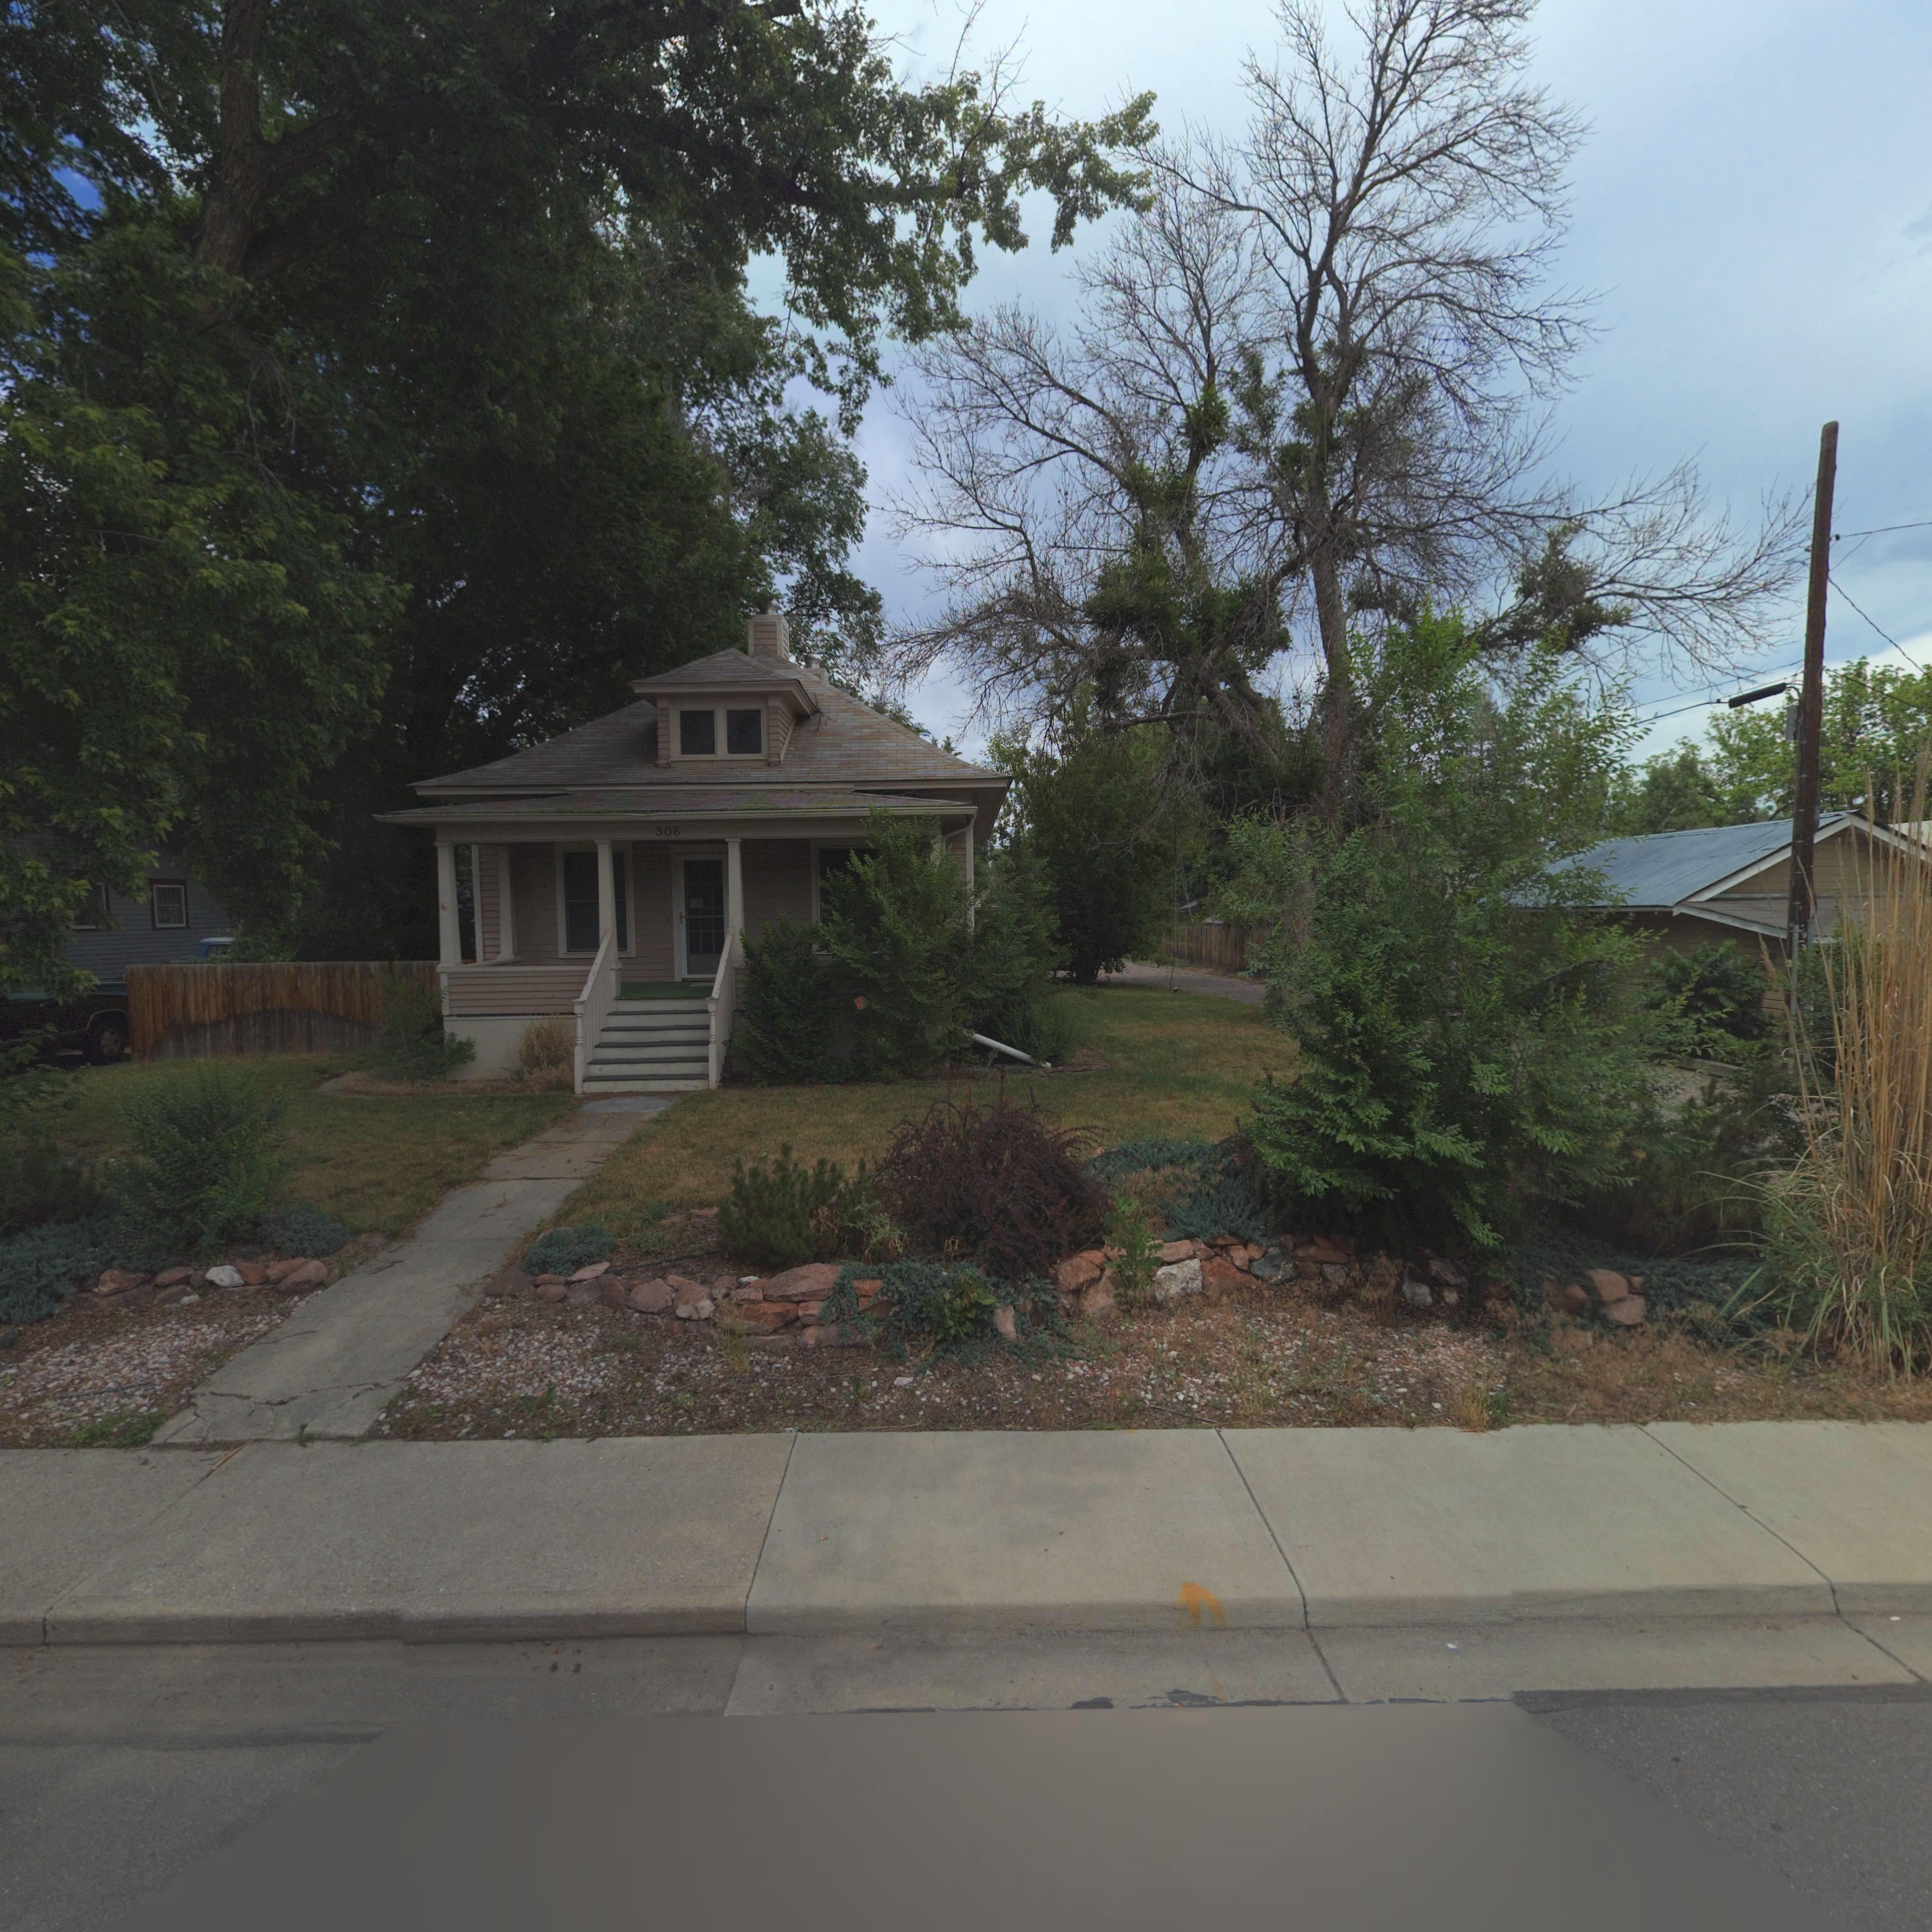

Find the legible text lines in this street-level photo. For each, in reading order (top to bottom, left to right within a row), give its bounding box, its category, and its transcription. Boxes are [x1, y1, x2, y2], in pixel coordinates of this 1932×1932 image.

[655, 826, 681, 836] StreetNumber: 306